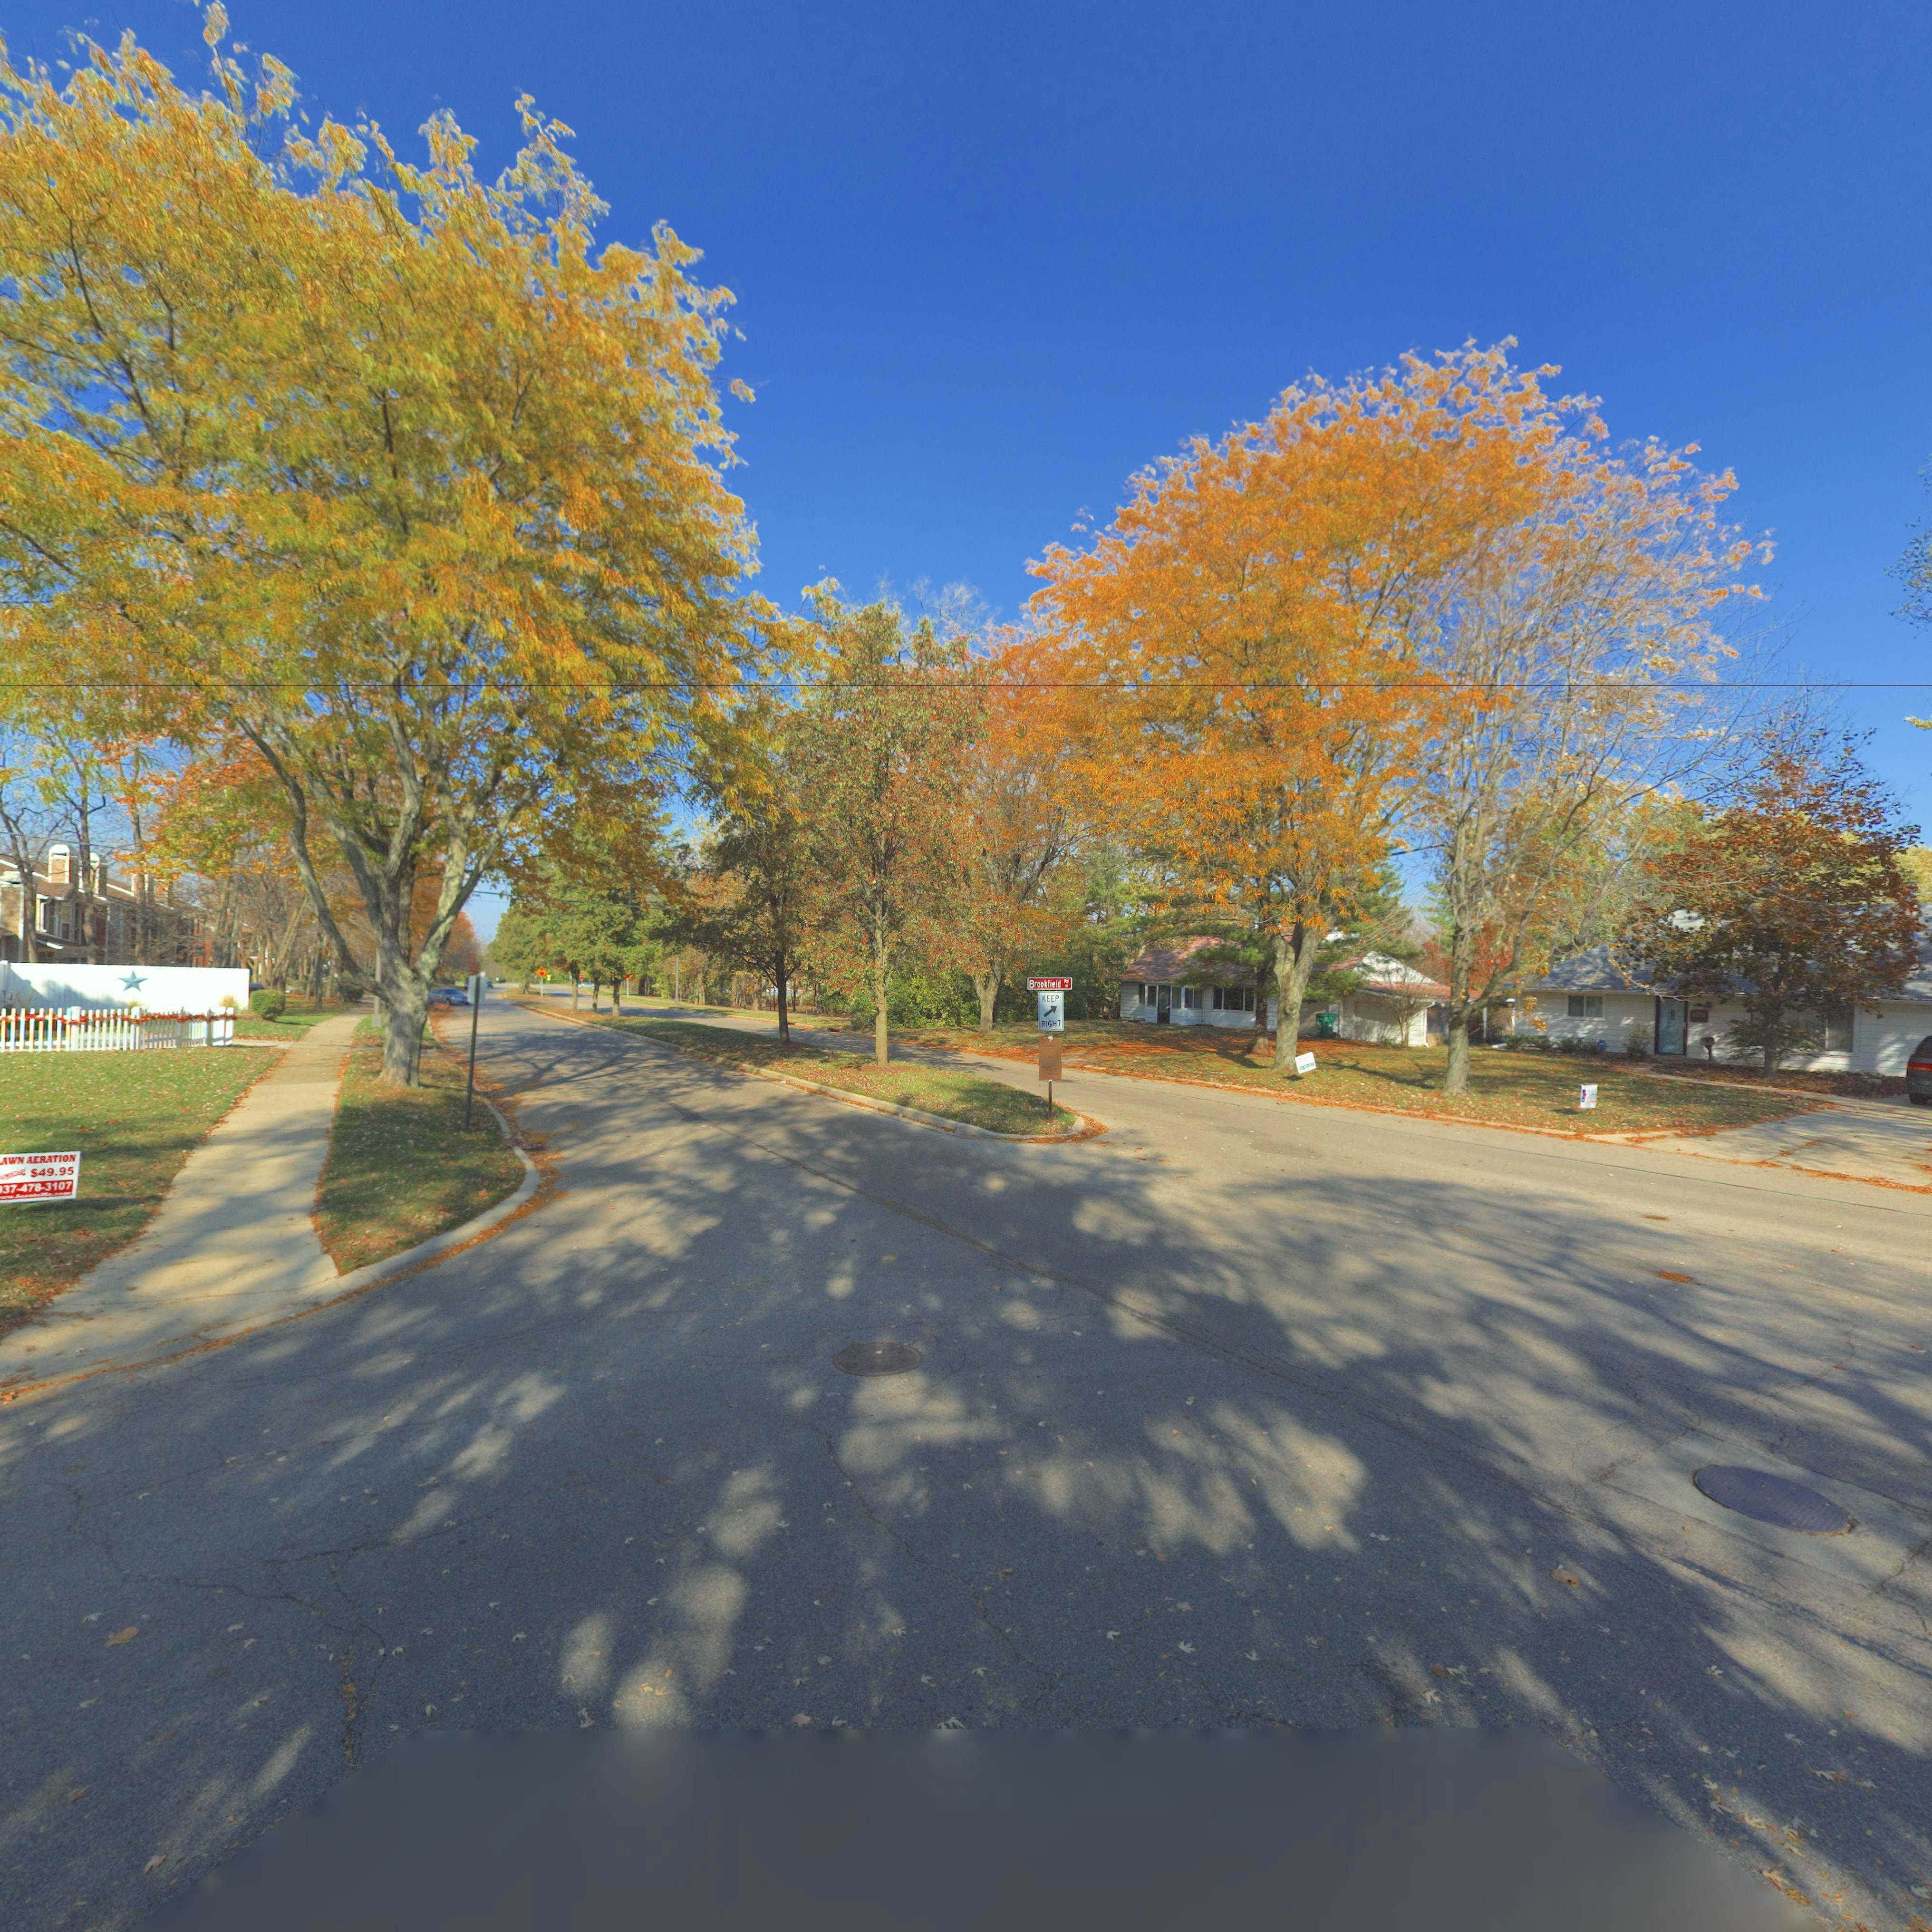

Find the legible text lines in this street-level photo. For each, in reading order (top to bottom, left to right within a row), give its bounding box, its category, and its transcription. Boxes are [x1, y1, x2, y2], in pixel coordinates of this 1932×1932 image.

[1029, 979, 1069, 988] StreetName: Brookfield Rd
[1042, 995, 1060, 1003] None: KEEP
[1040, 1020, 1061, 1028] None: RIGHT
[0, 1154, 77, 1165] None: AWN AERATION
[38, 1166, 74, 1176] None: 49.95
[2, 1180, 73, 1194] None: 37-478-3107